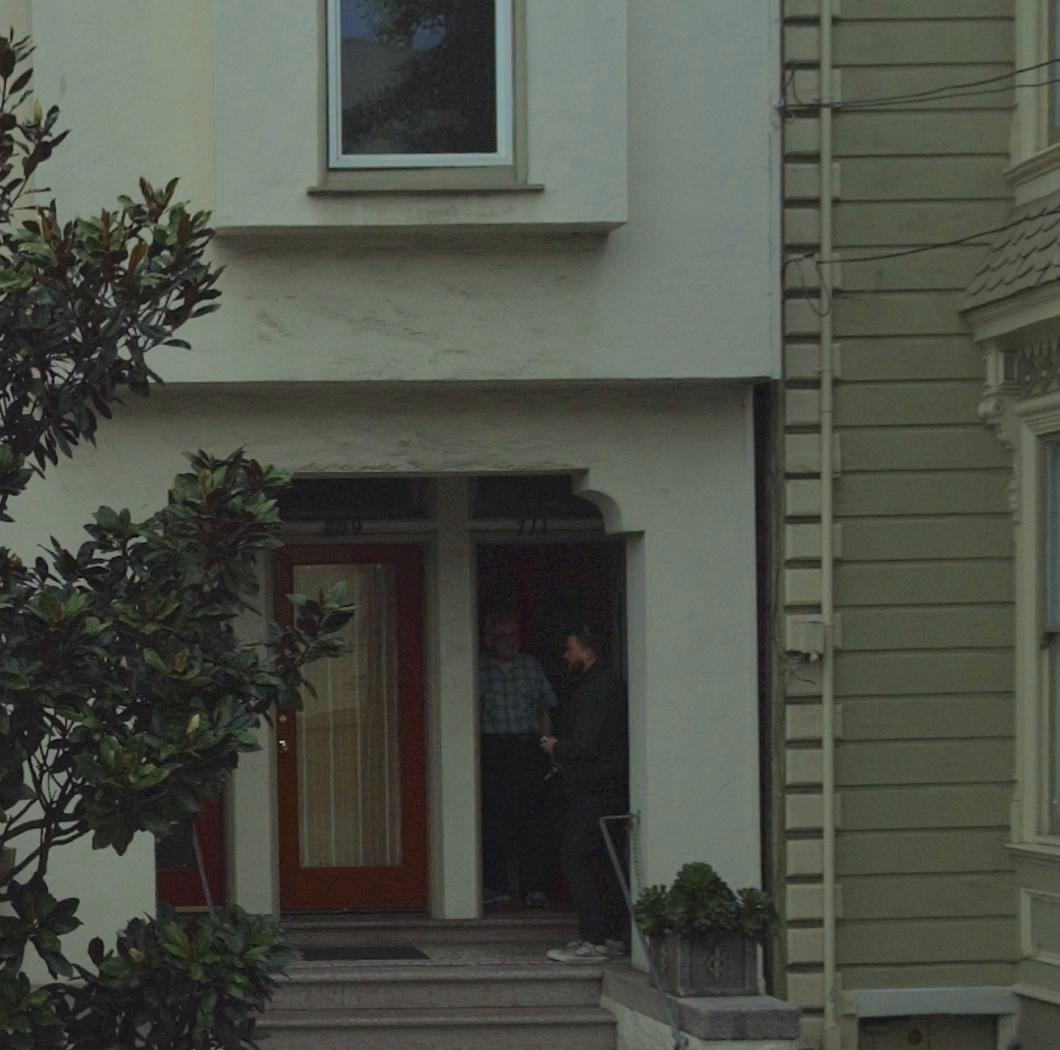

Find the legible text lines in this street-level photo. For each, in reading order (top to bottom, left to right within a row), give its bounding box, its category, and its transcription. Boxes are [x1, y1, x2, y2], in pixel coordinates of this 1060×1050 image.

[323, 518, 362, 536] StreetNumber: 709
[515, 516, 550, 537] StreetNumber: 711